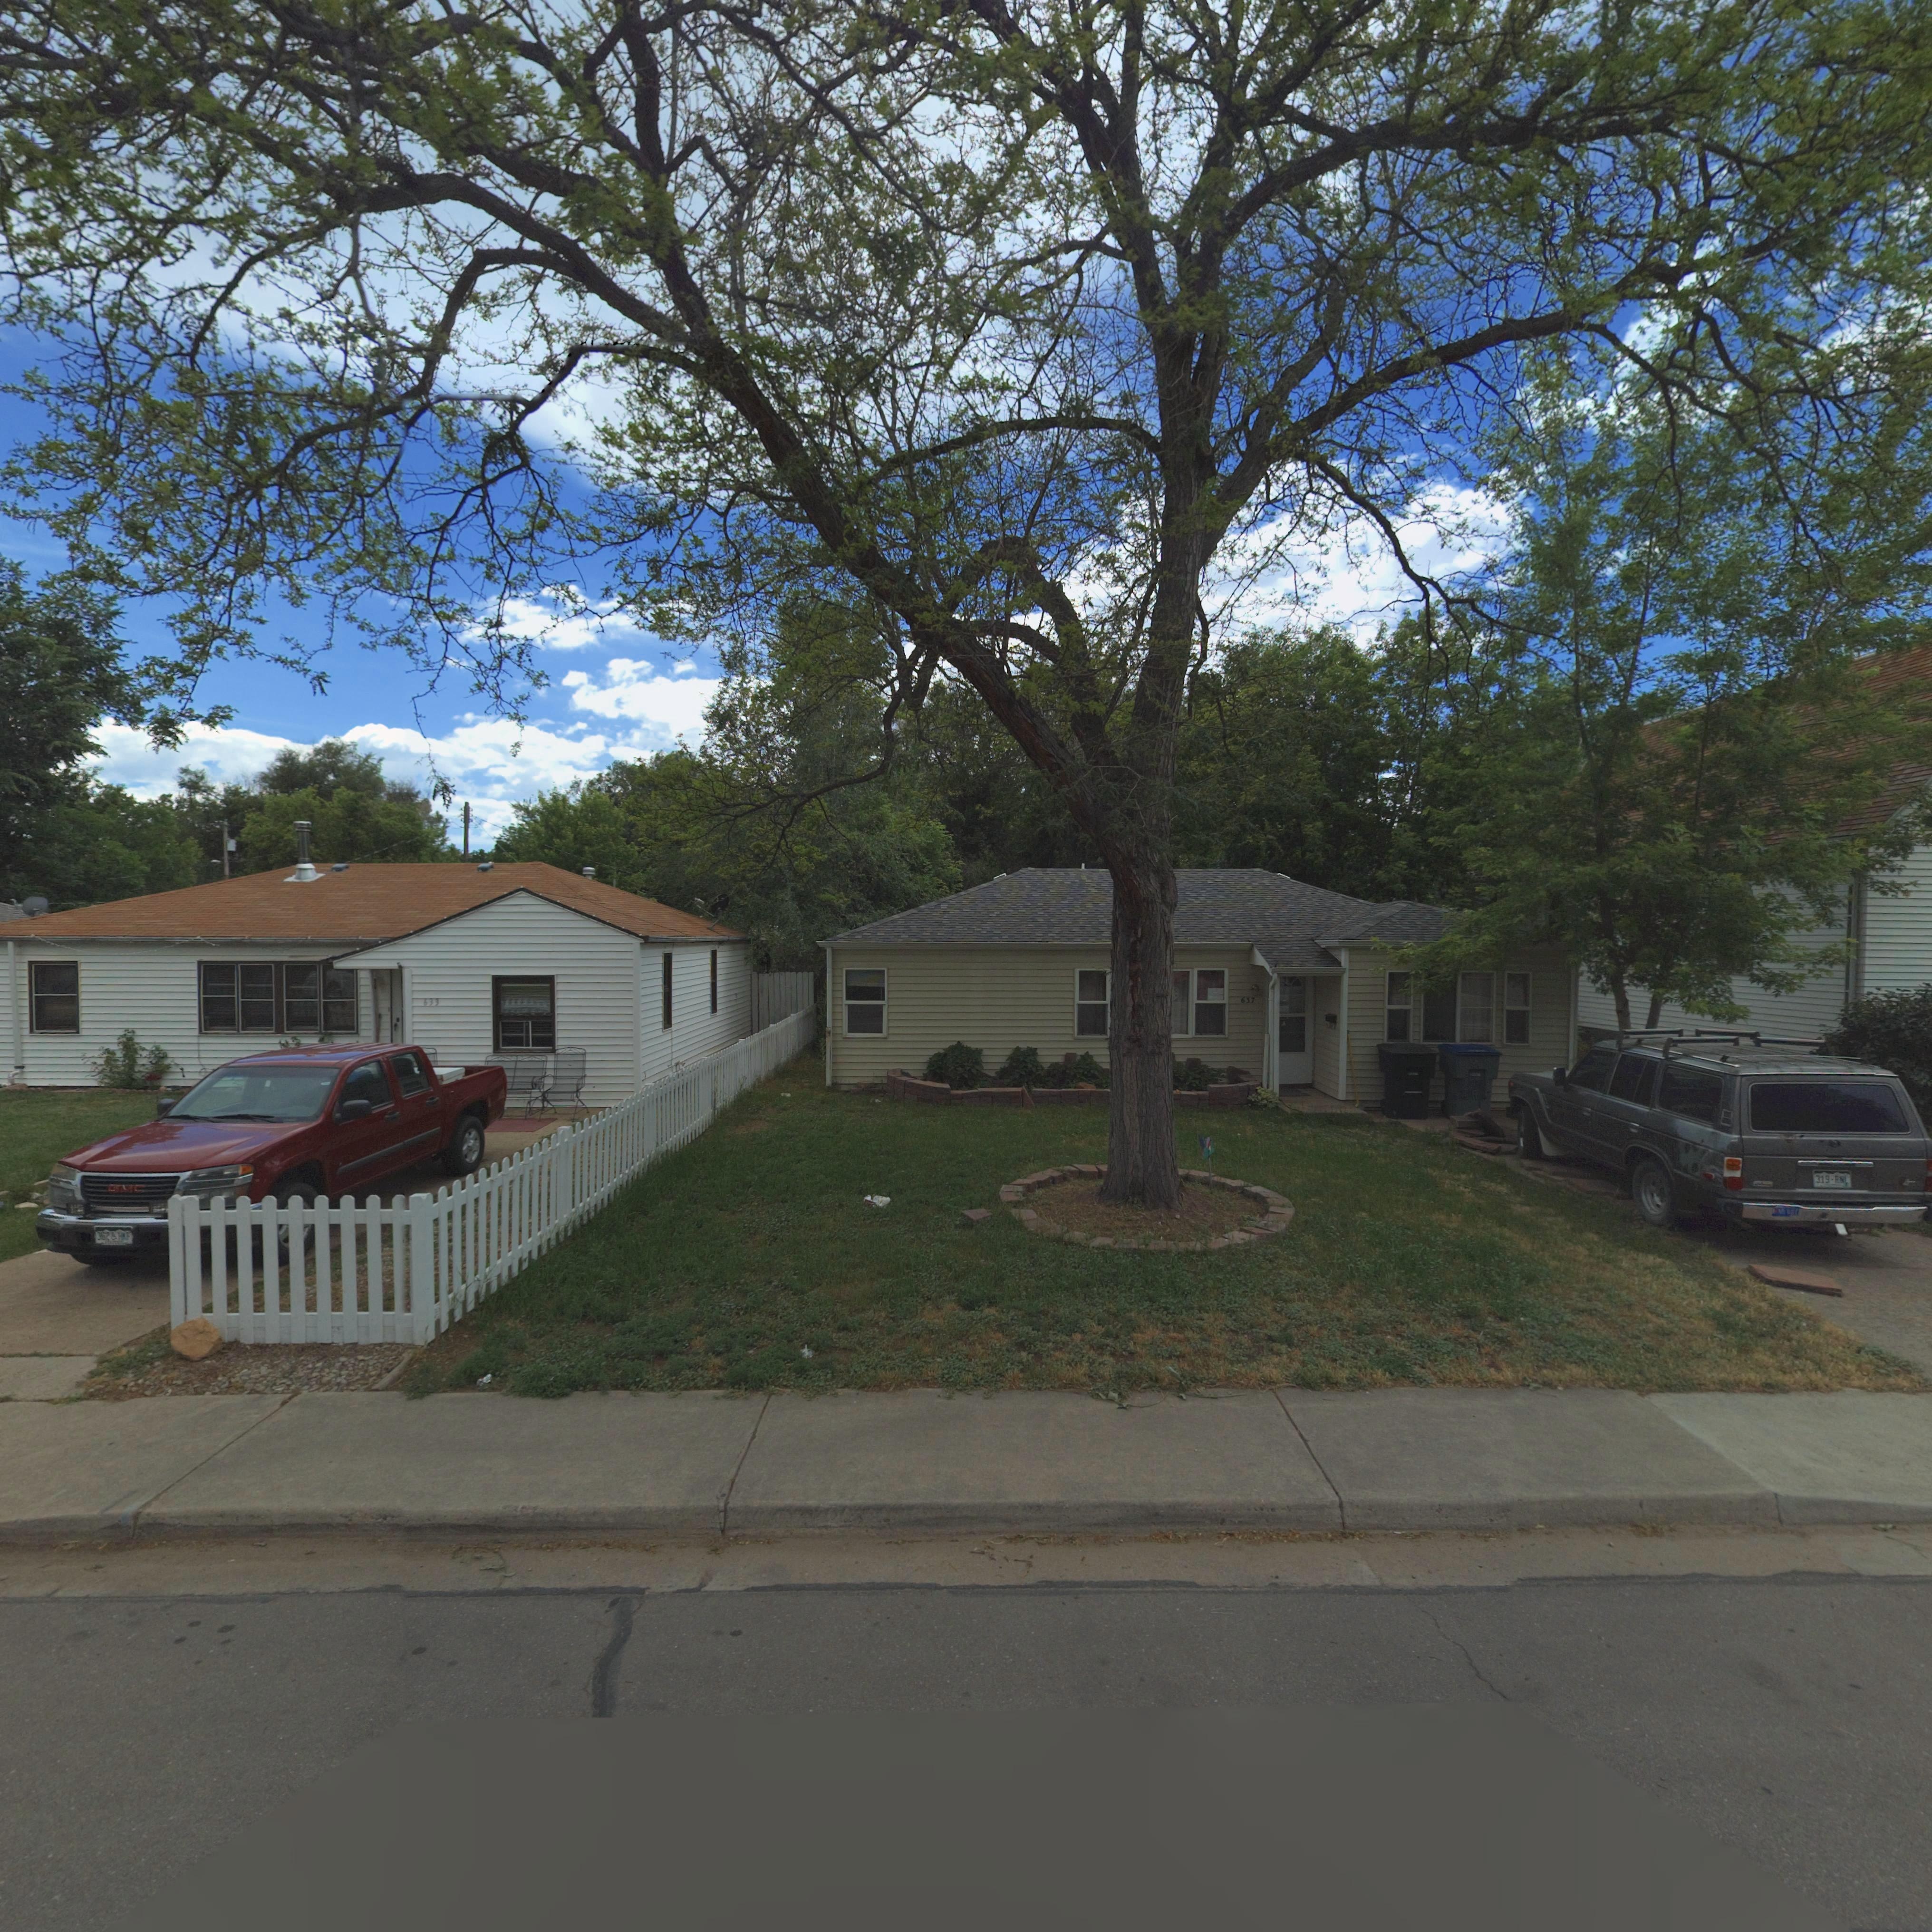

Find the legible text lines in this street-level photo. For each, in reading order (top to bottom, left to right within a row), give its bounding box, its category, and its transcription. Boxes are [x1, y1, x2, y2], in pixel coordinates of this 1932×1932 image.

[423, 998, 439, 1006] StreetNumber: 633
[1240, 996, 1255, 1003] StreetNumber: 637